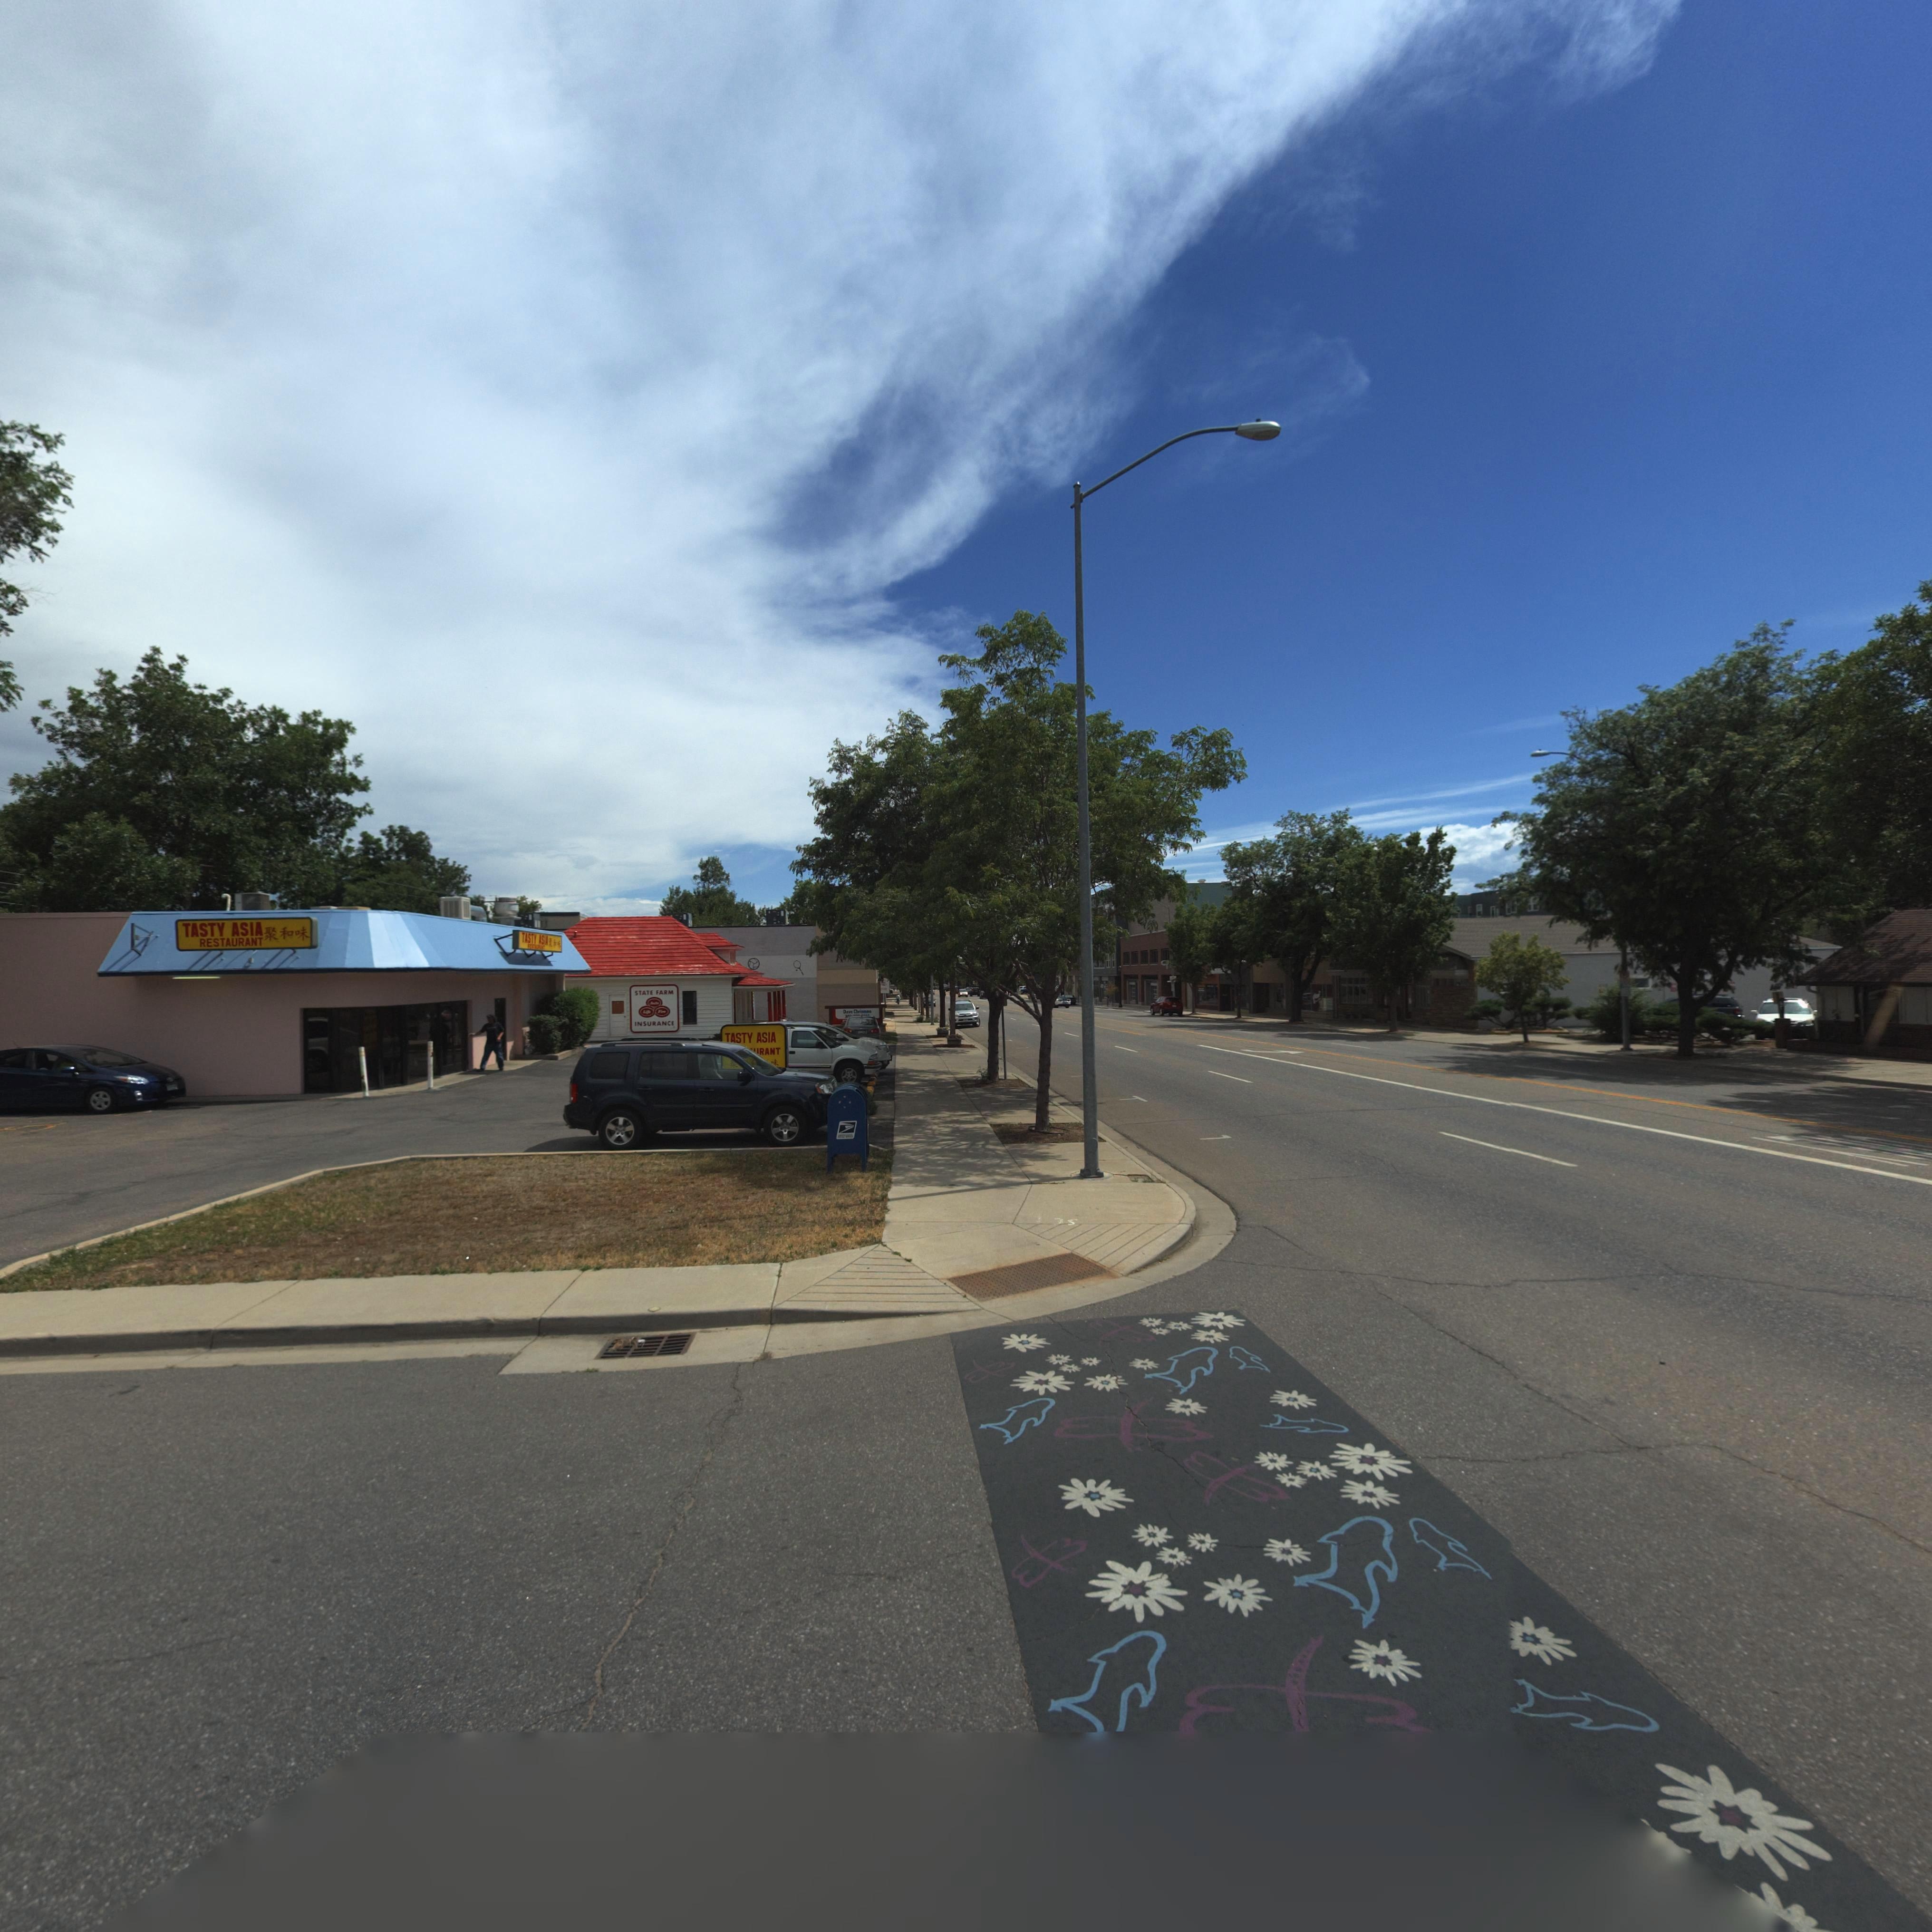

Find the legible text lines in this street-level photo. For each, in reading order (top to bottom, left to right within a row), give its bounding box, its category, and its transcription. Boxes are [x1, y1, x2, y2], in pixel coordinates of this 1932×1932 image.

[181, 921, 263, 937] BusinessName: TASTY ASIA
[198, 937, 264, 948] BusinessName: RESTAURANT
[521, 931, 548, 945] BusinessName: TASTY ASIA
[527, 943, 545, 950] BusinessName: RESTAURANT
[634, 989, 674, 995] BusinessName: STATE FARM
[635, 1020, 674, 1026] BusinessName: INSURANCE
[724, 1031, 776, 1043] BusinessName: TASTY ASIA
[753, 1047, 781, 1056] BusinessName: *RANT